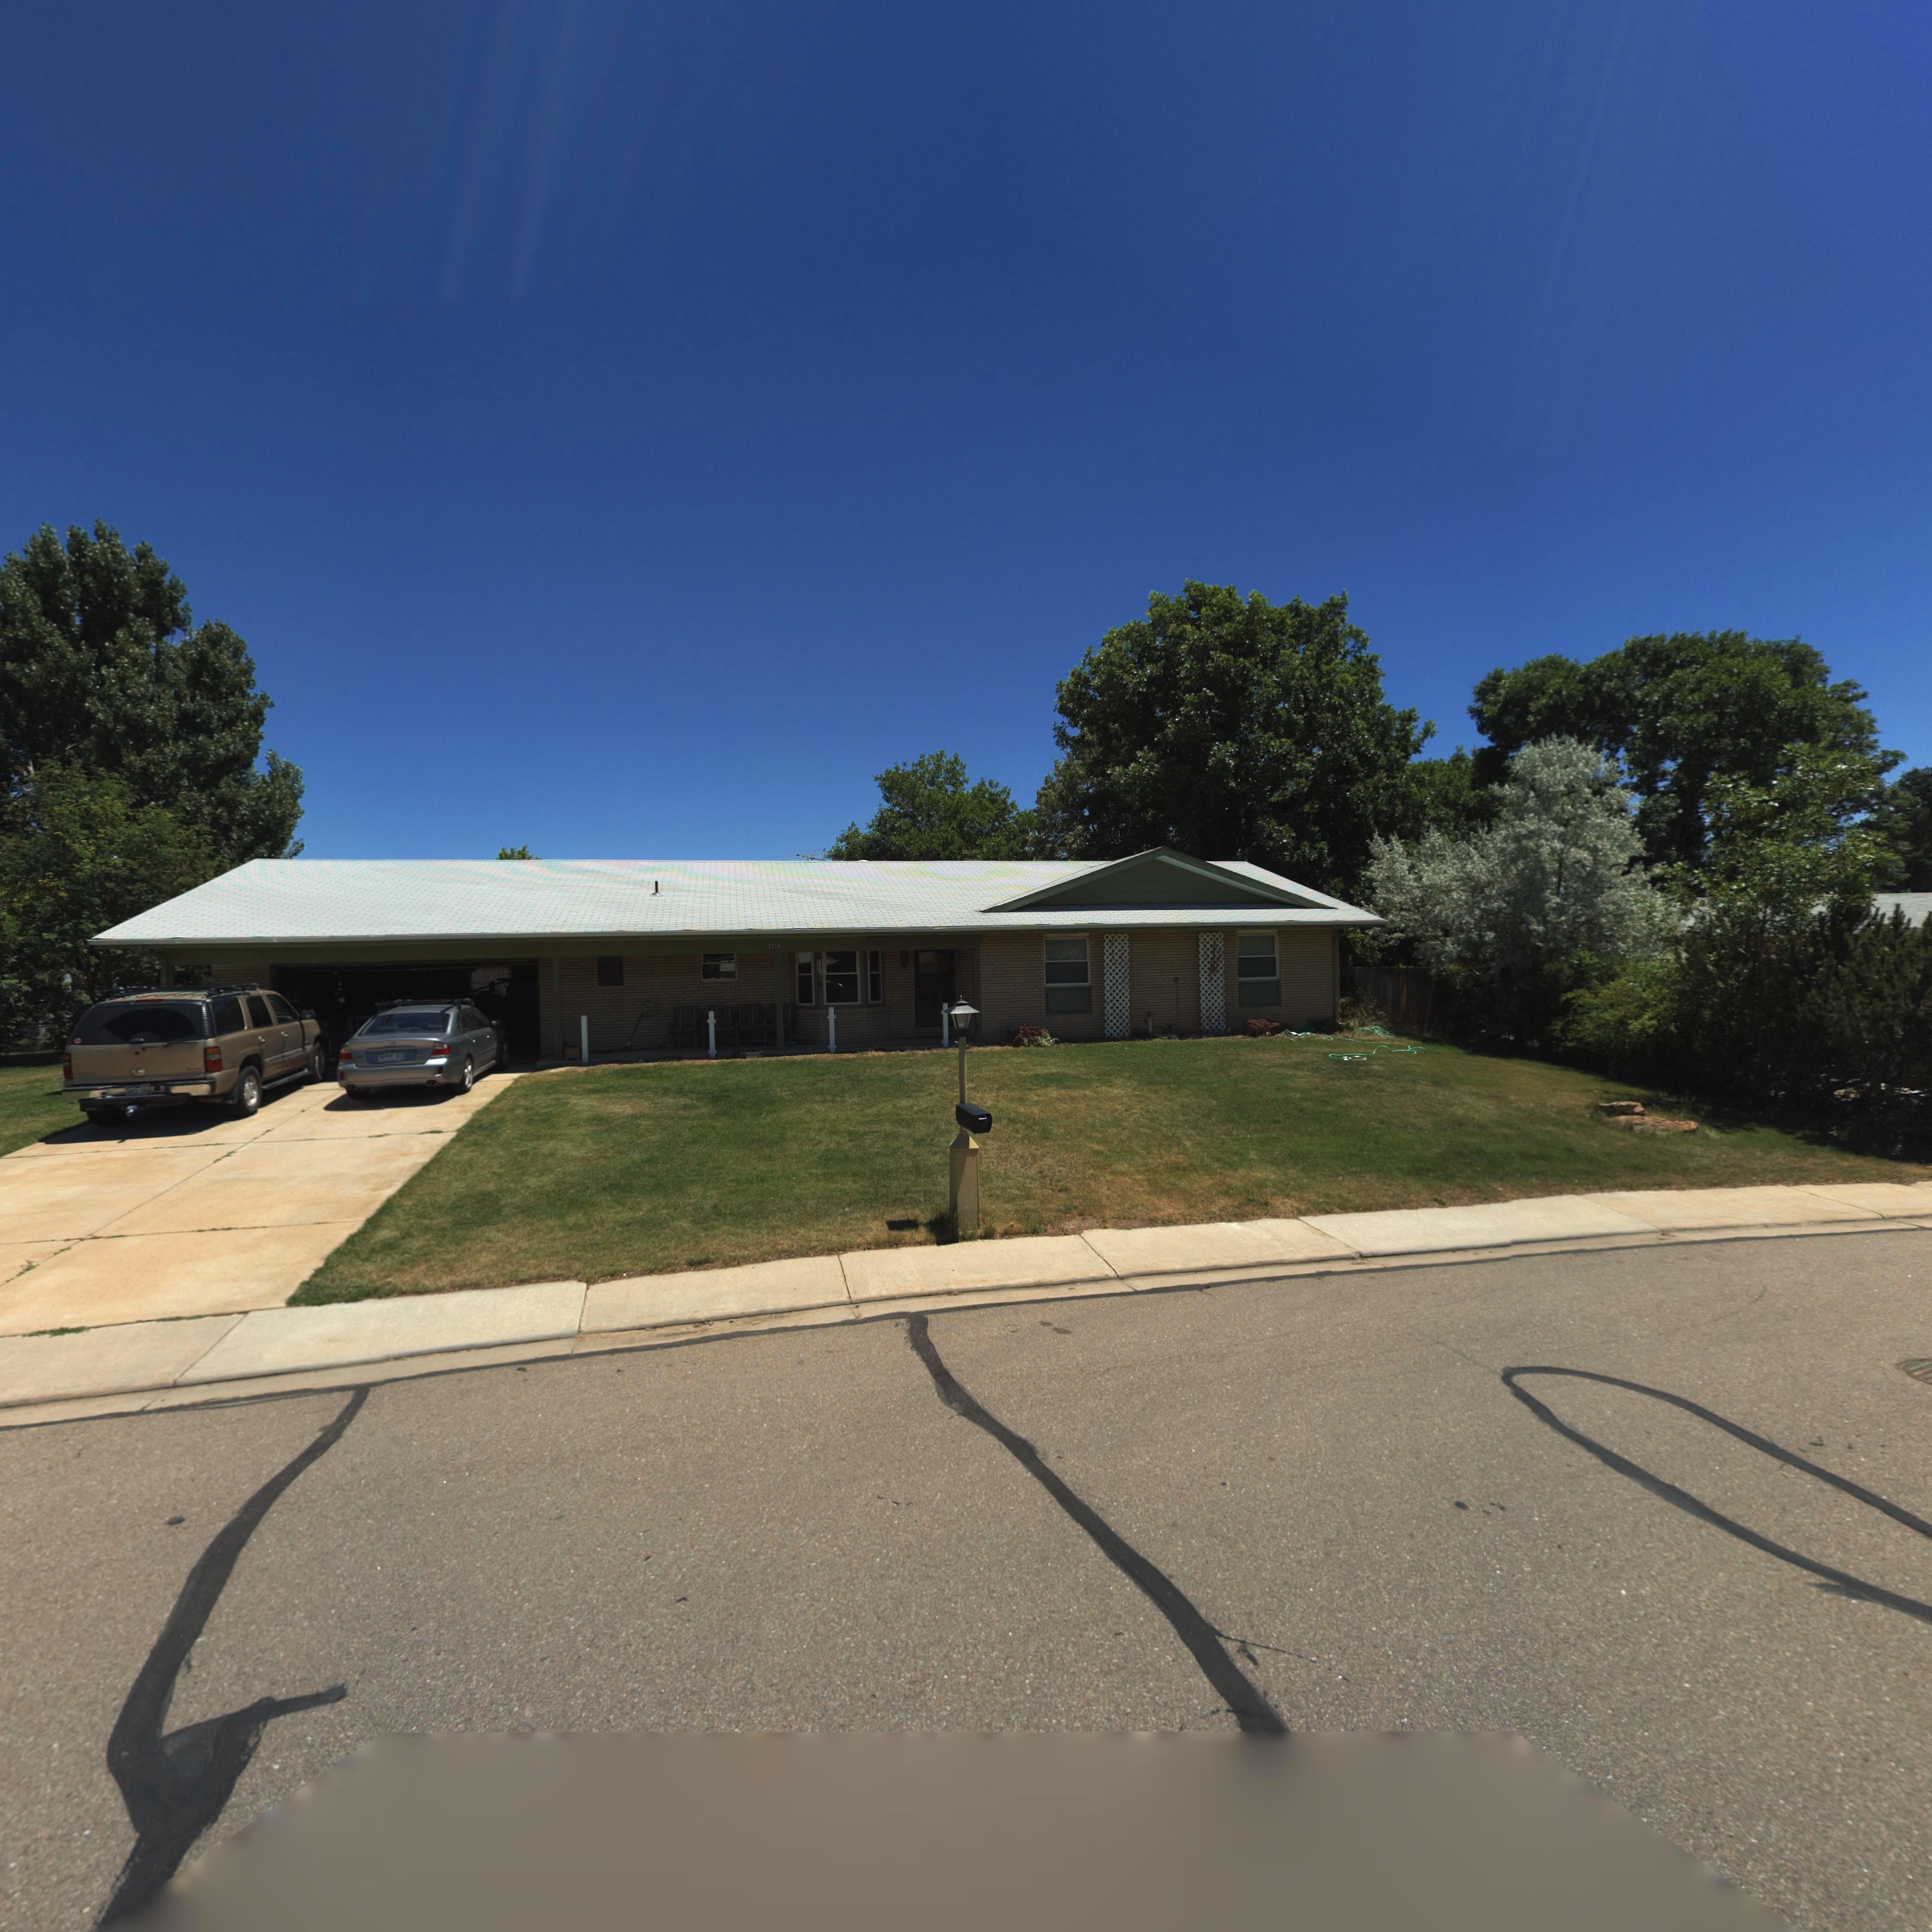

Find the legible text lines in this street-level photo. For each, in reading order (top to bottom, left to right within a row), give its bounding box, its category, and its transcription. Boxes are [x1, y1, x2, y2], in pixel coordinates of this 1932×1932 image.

[767, 943, 781, 949] StreetNumber: 2316